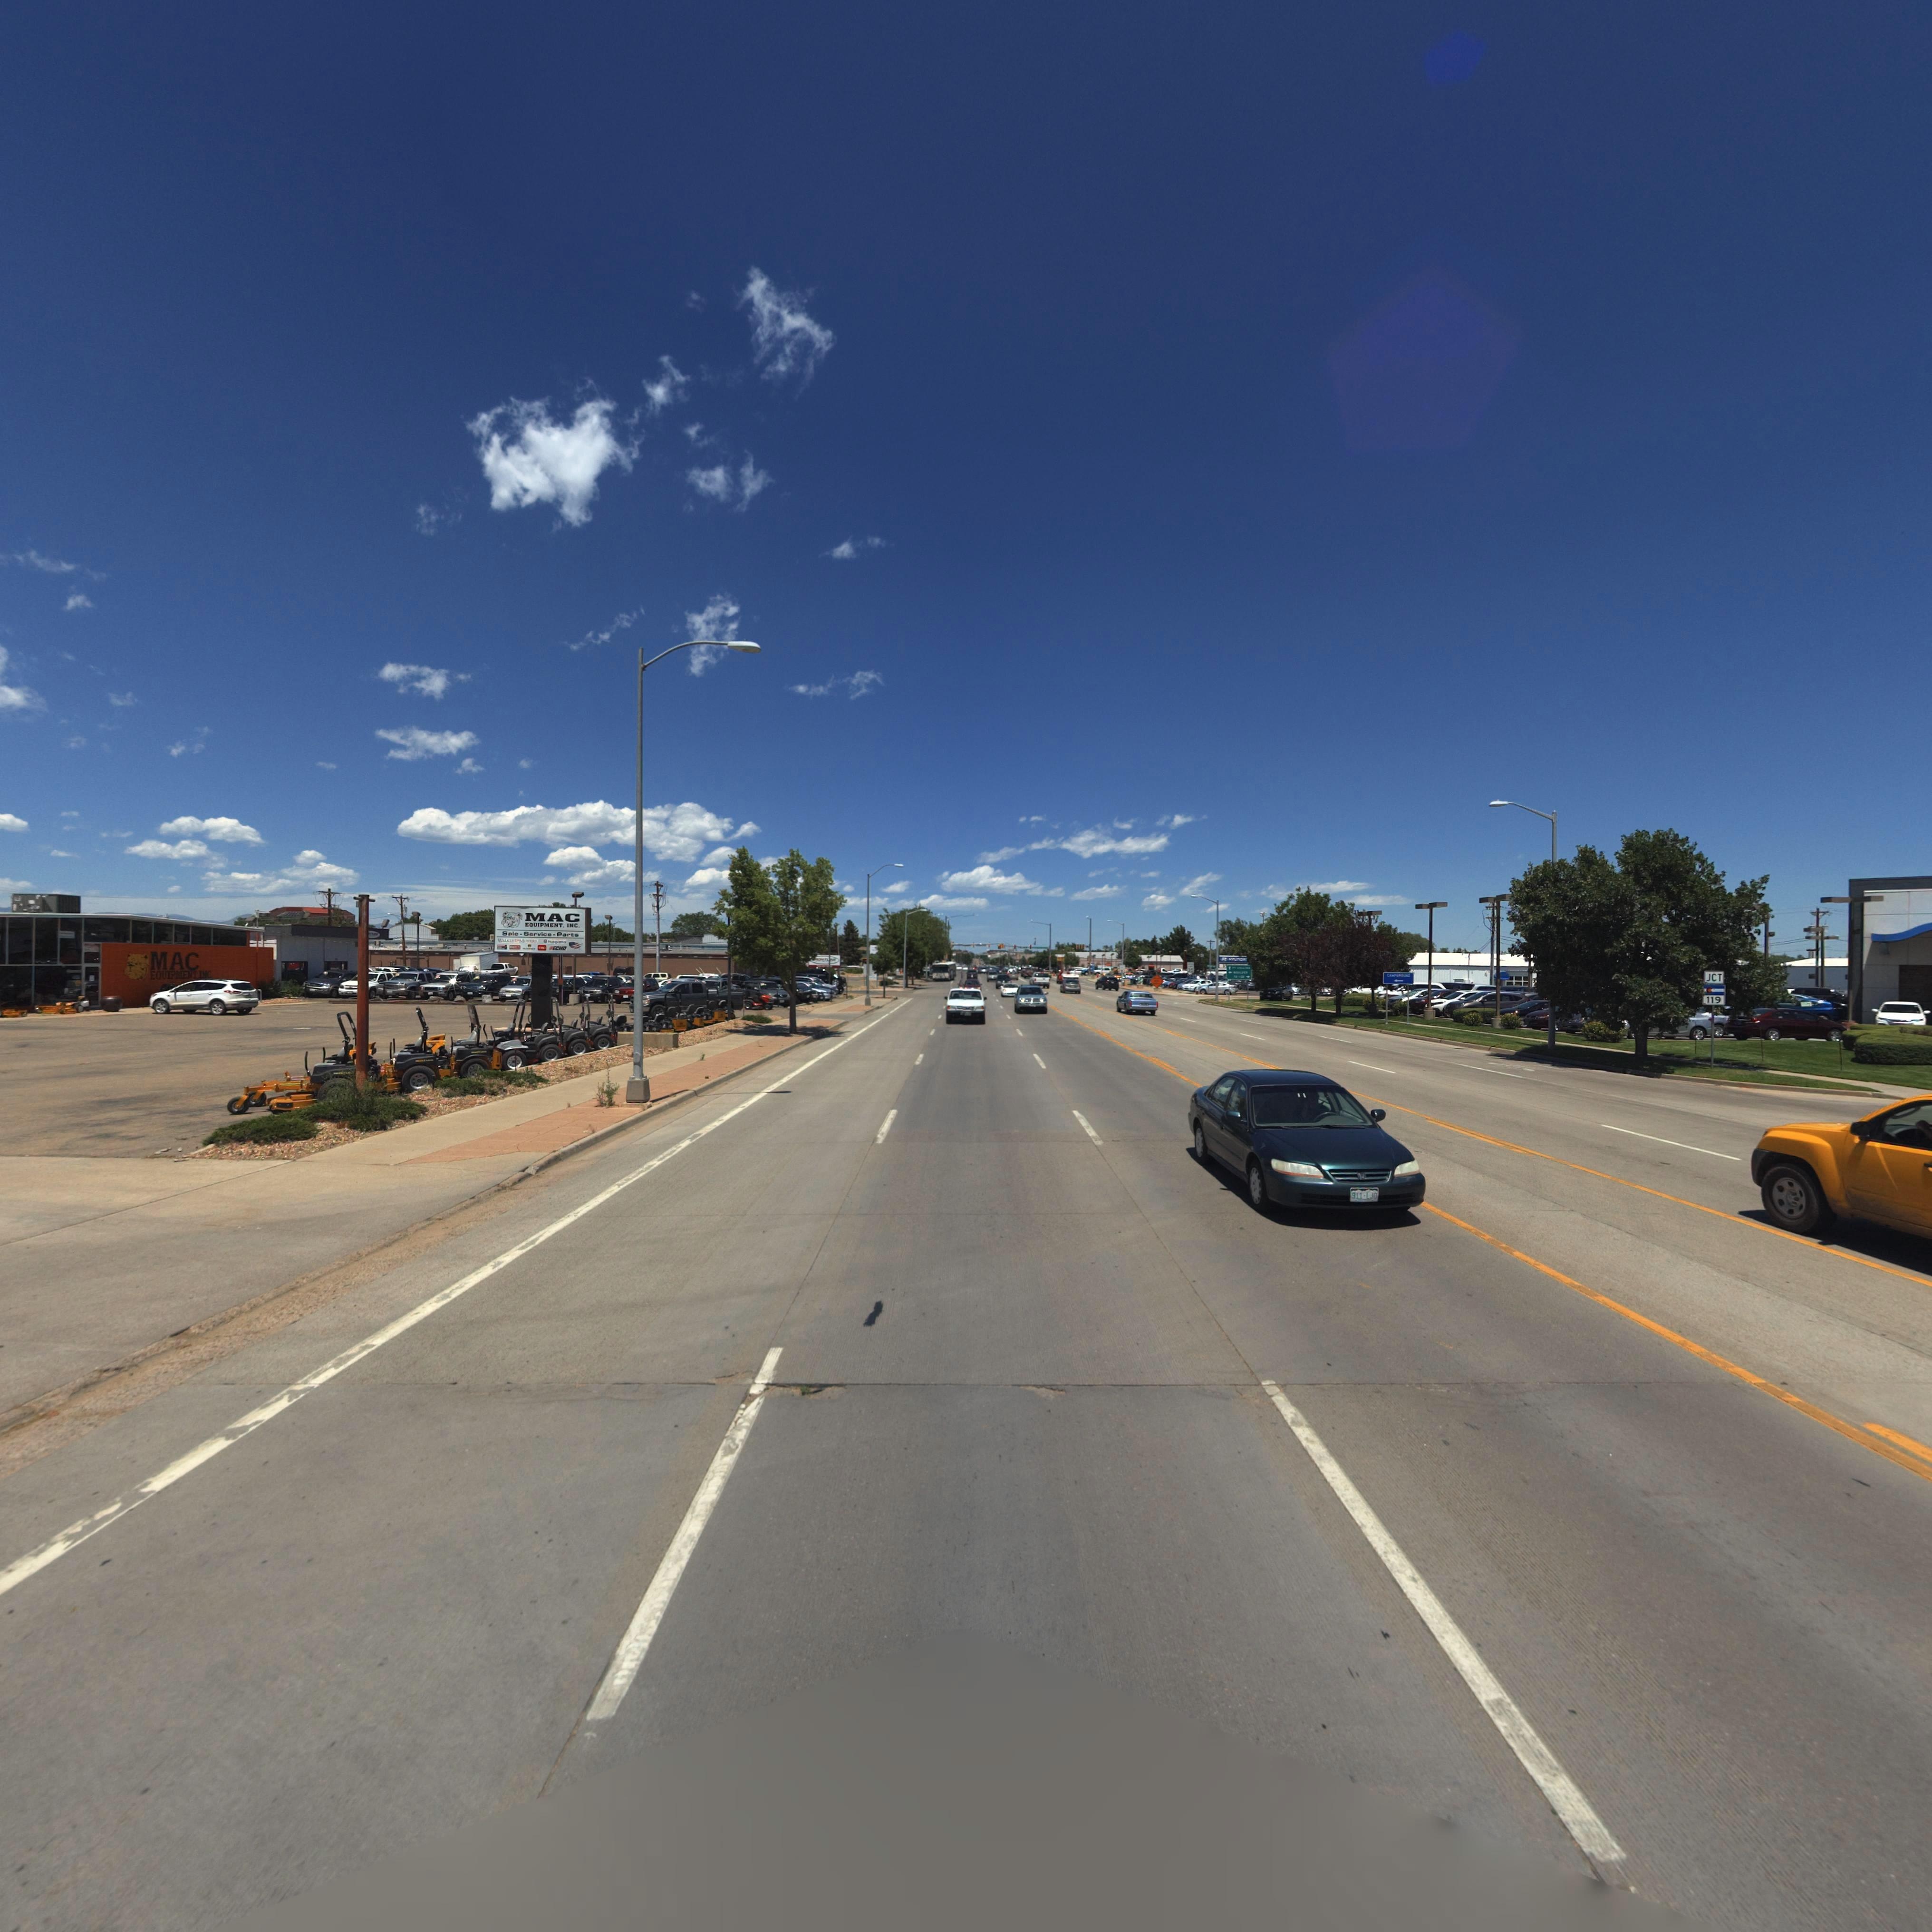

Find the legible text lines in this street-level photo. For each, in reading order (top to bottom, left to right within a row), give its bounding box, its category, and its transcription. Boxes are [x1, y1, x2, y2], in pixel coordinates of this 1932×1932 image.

[524, 911, 580, 923] BusinessName: MAC
[523, 922, 580, 928] BusinessName: EQUIPTMENT* INC*
[149, 951, 200, 970] BusinessName: MAC
[149, 970, 213, 982] BusinessName: EQUIPTMENT* INC*